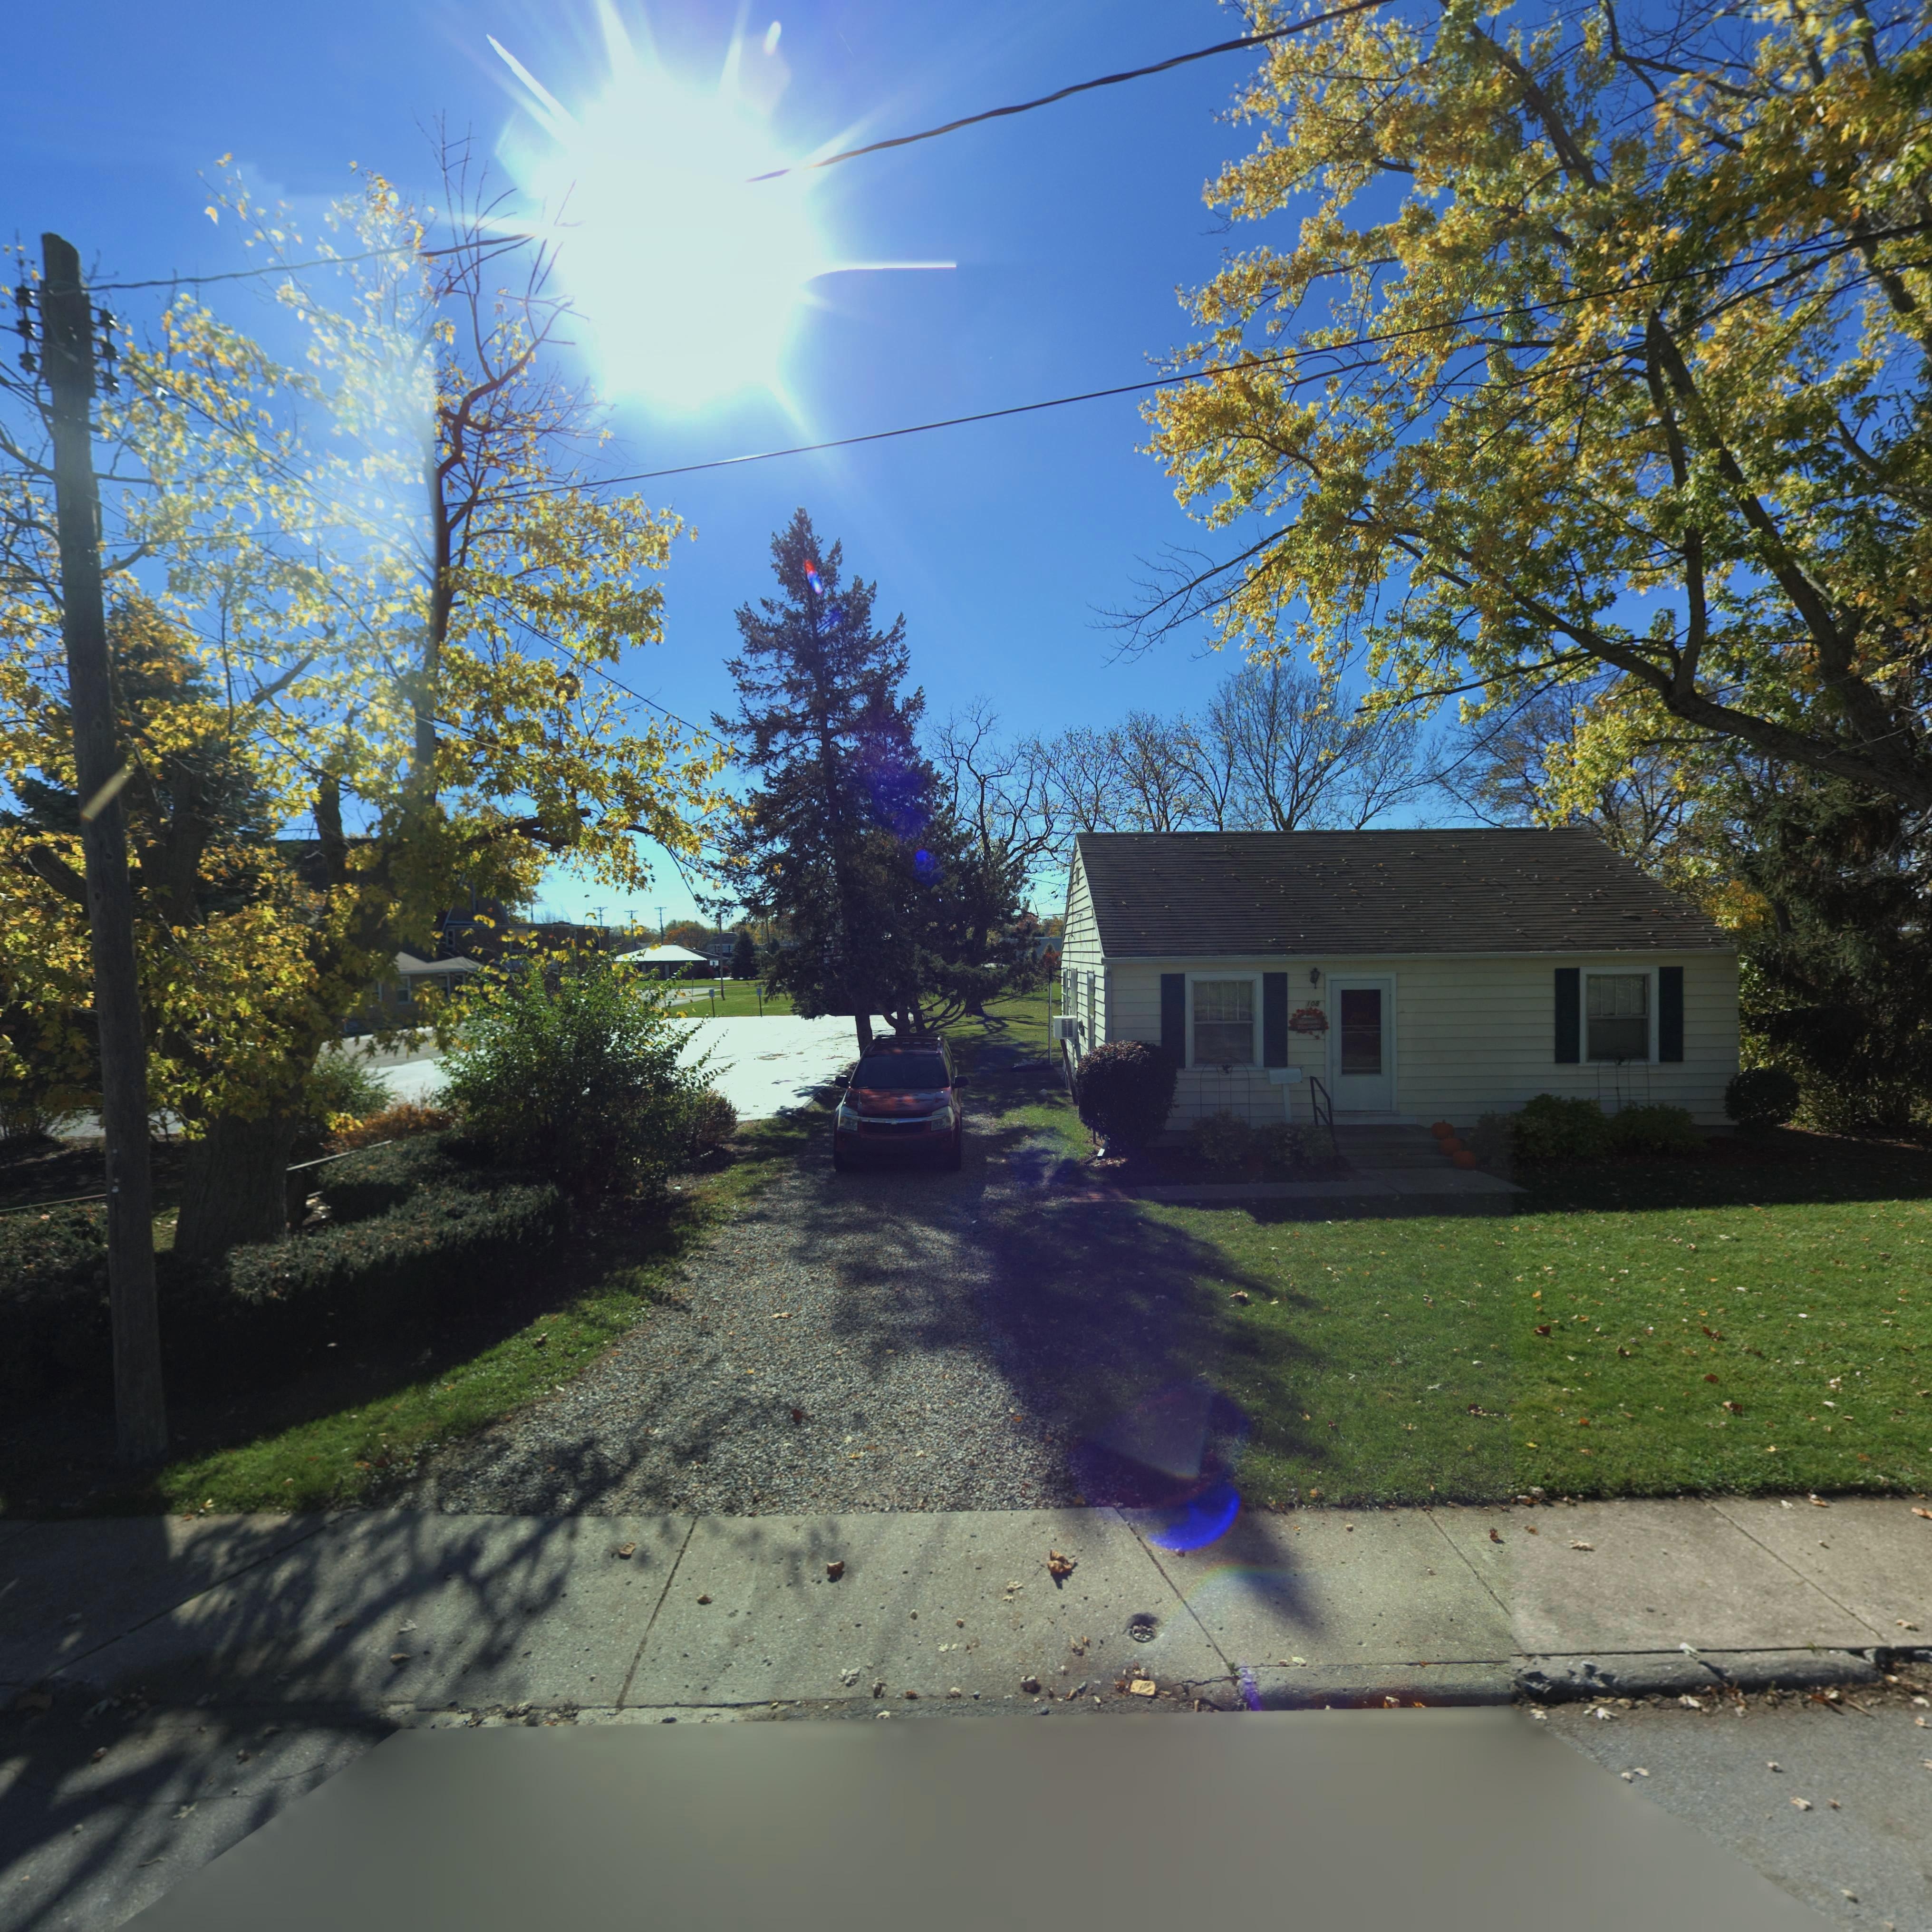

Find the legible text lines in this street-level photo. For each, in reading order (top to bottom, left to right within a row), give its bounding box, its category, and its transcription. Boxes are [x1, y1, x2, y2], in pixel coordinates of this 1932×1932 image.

[1306, 1000, 1321, 1007] StreetNumber: 108